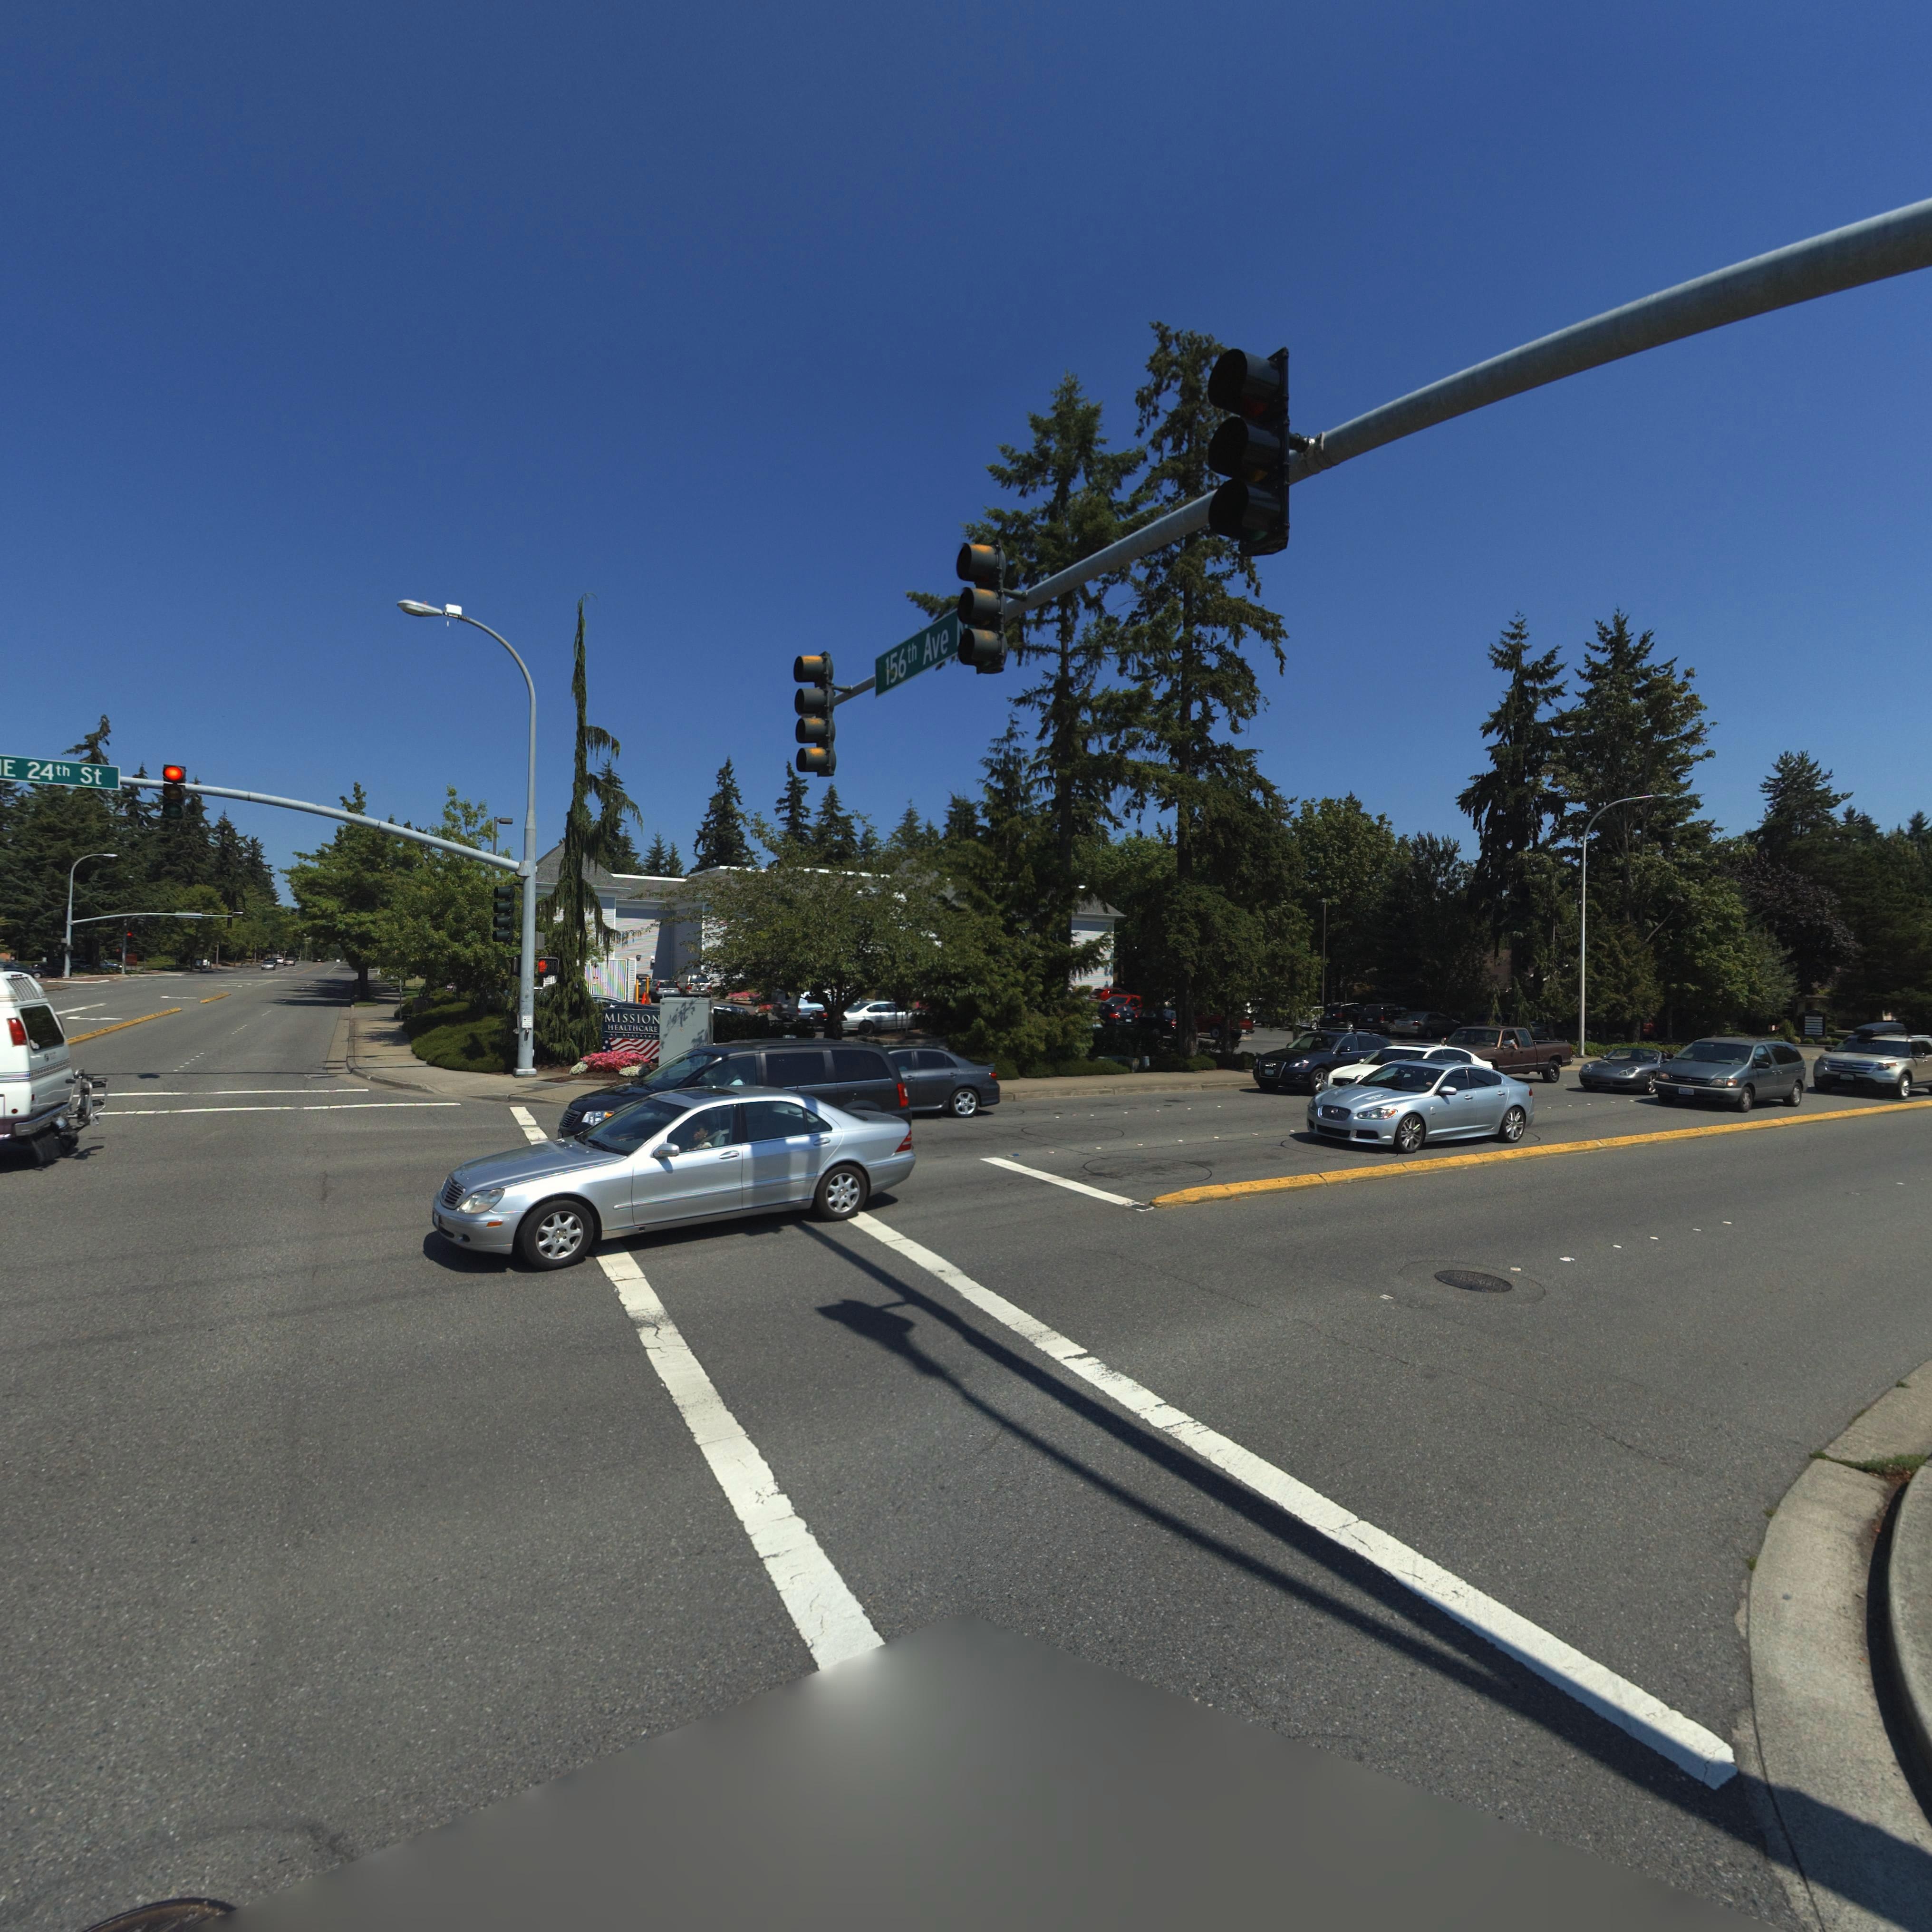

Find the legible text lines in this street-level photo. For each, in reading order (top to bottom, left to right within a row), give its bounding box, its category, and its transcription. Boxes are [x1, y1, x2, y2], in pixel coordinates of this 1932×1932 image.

[885, 628, 948, 685] StreetName: 156th Ave
[3, 758, 103, 785] StreetName: E 24th St
[604, 1013, 660, 1024] BusinessName: MISSION
[609, 1024, 657, 1032] BusinessName: HEALTHCARE